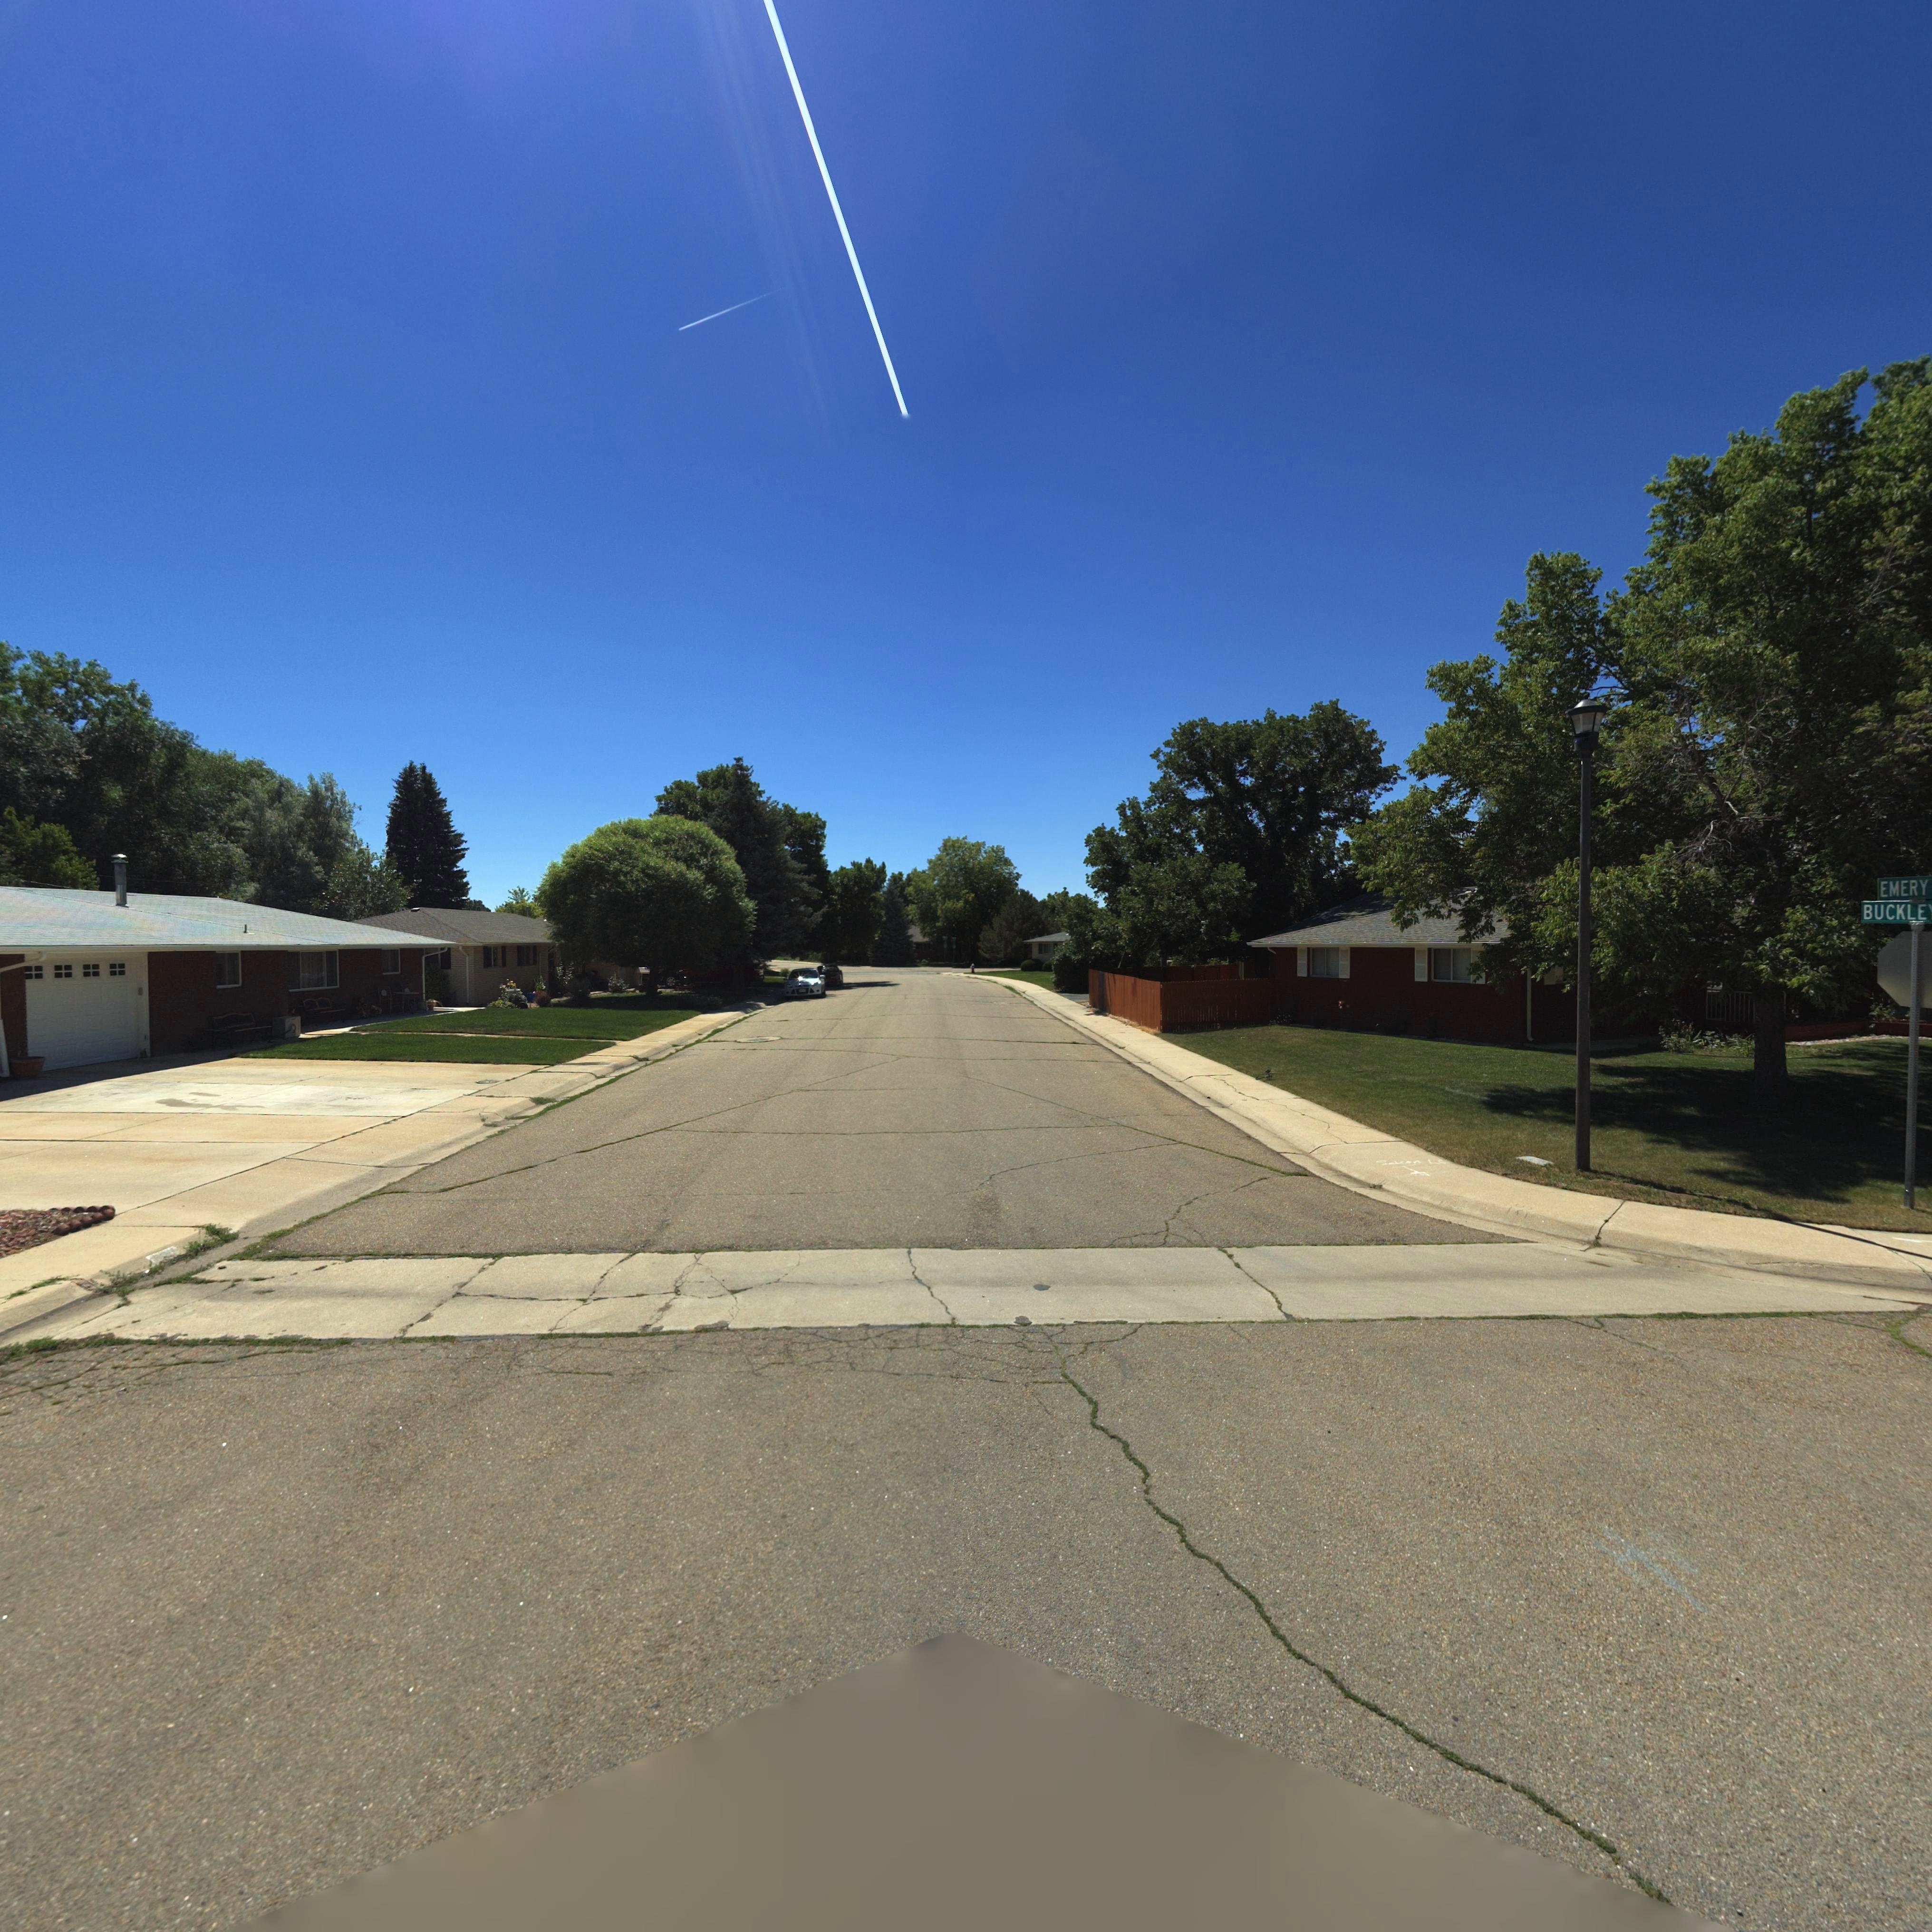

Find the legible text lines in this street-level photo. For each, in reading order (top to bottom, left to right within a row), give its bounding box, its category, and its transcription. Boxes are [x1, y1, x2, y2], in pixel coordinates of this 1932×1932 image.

[1880, 878, 1929, 898] BusinessName: EMERY
[1863, 903, 1928, 921] StreetName: BUCKLE